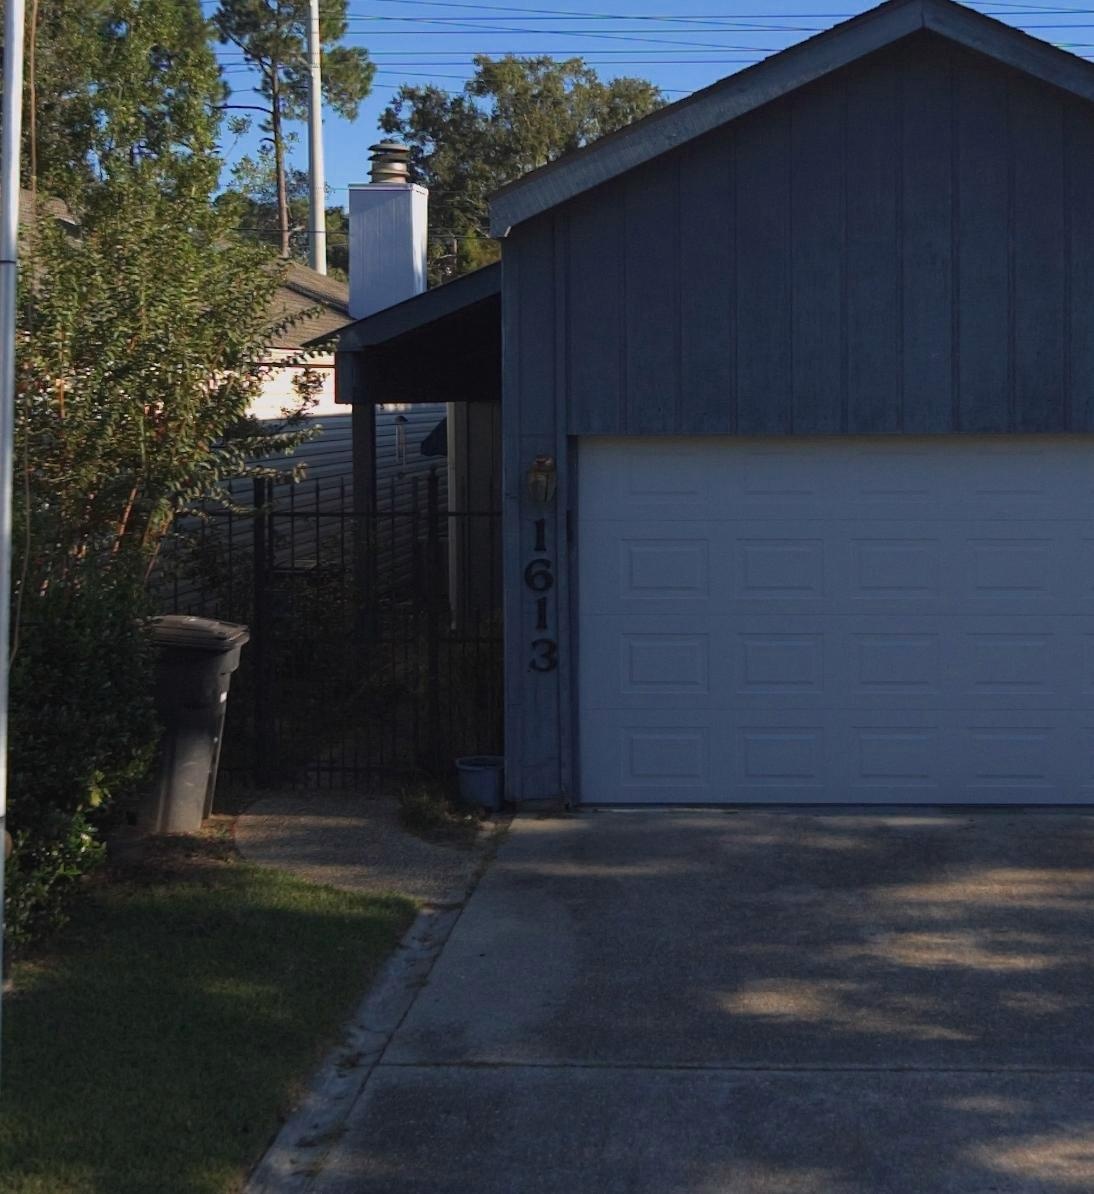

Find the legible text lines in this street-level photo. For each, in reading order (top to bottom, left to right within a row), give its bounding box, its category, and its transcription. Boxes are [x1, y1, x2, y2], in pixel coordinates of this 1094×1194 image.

[522, 514, 561, 675] StreetNumber: 1613